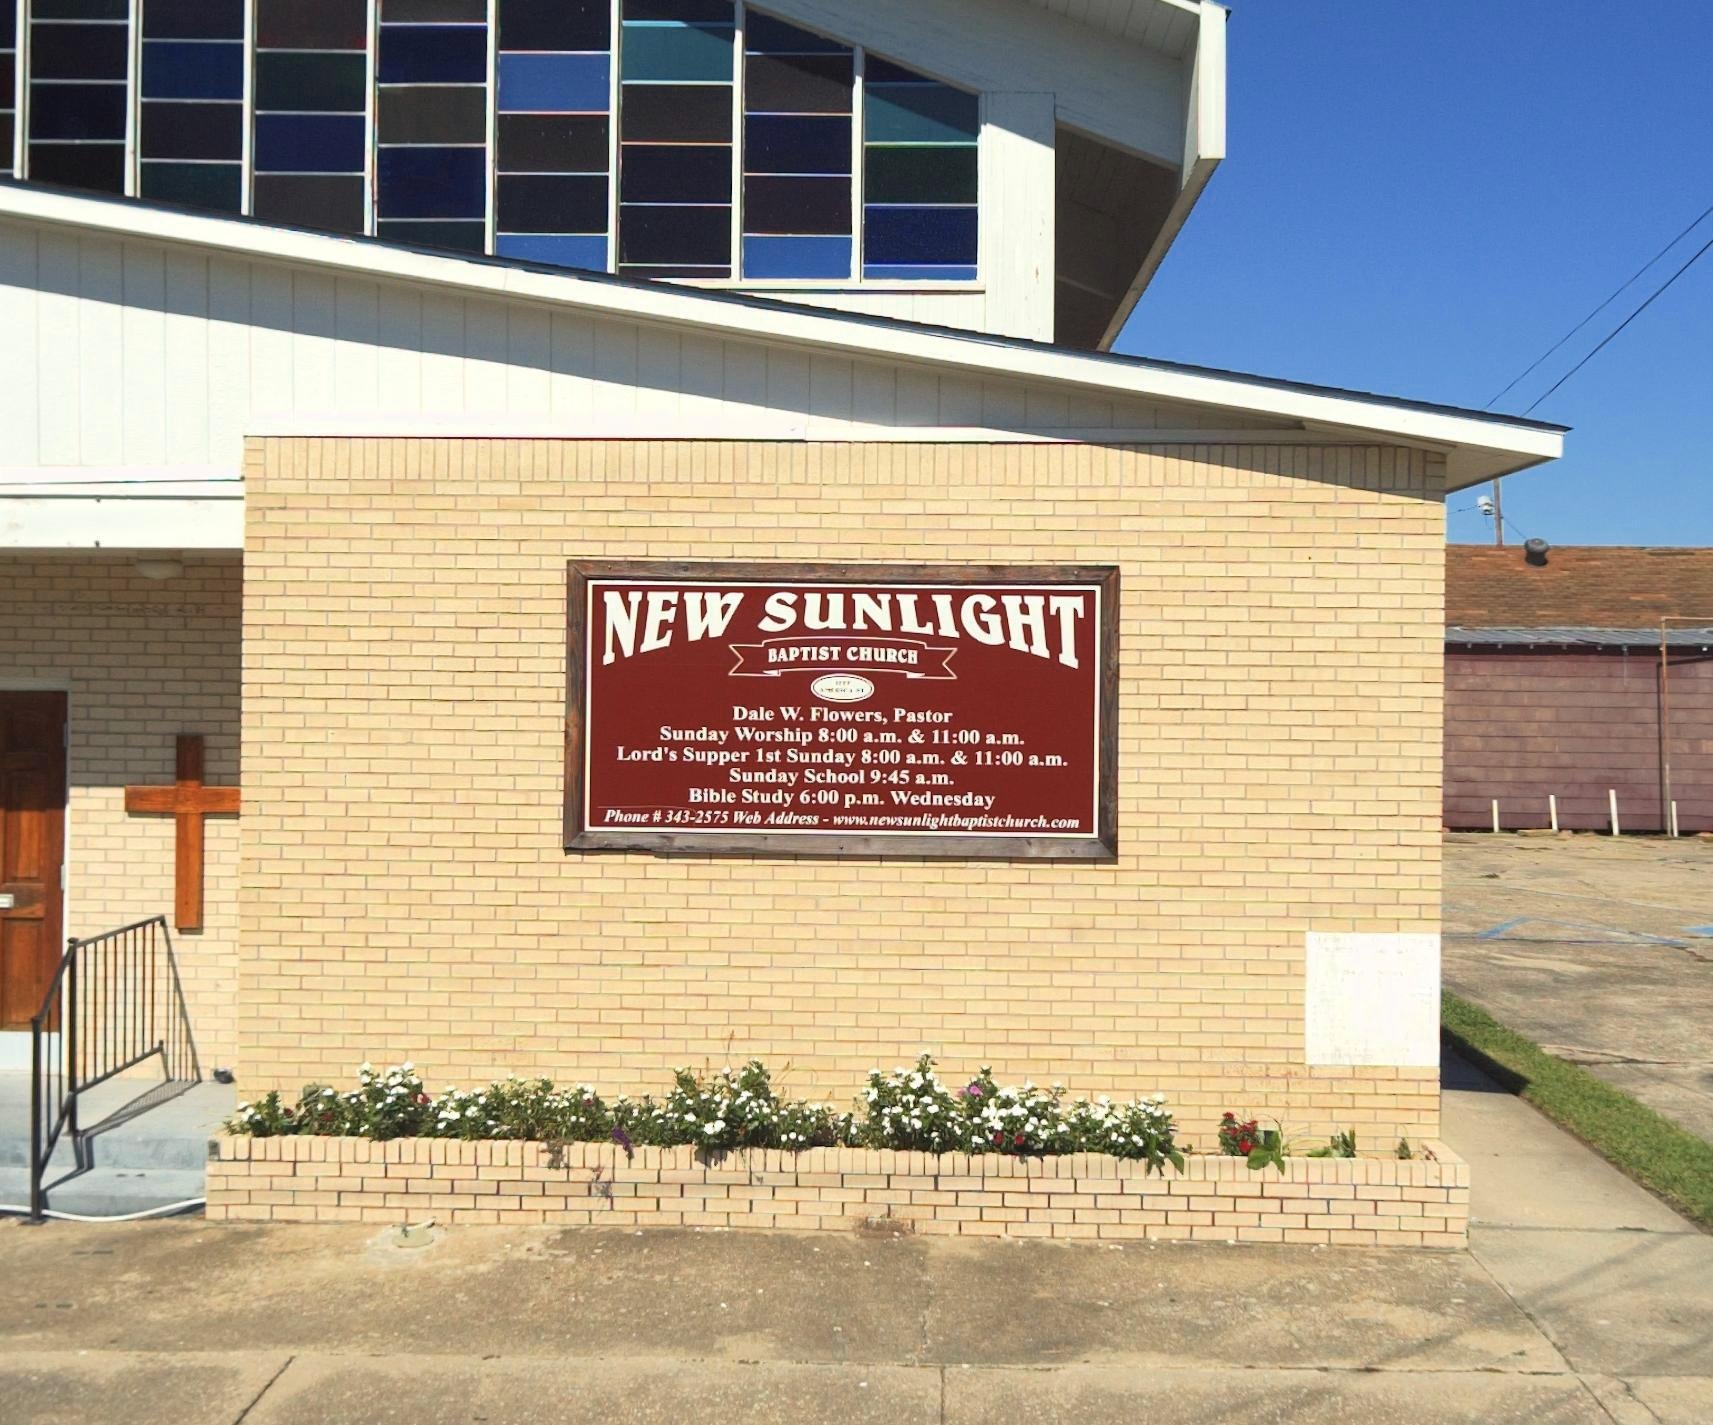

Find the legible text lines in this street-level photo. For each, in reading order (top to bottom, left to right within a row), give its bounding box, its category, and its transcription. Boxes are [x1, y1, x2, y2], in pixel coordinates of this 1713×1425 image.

[600, 588, 1089, 674] BusinessName: NEW SUNLIGHT
[765, 643, 922, 667] BusinessName: BAPTIST CHURCH
[728, 703, 957, 727] None: Dale W. Flowers, Pastor
[658, 723, 1028, 748] None: Sunday Worship 8:00 a.m. & 11:00 a.m.
[613, 742, 1071, 770] None: Lord's Supper 1st Sunday 8:00 a.m. & 11:00 a.m.
[725, 765, 957, 790] None: Sunday School 9:45 a.m.
[685, 783, 1000, 812] None: Bible Study 6:00 p.m. Wednesday
[599, 804, 1083, 833] None: Phone # 343-2575 Web Address-www.newsunlightbaptistchurch.com